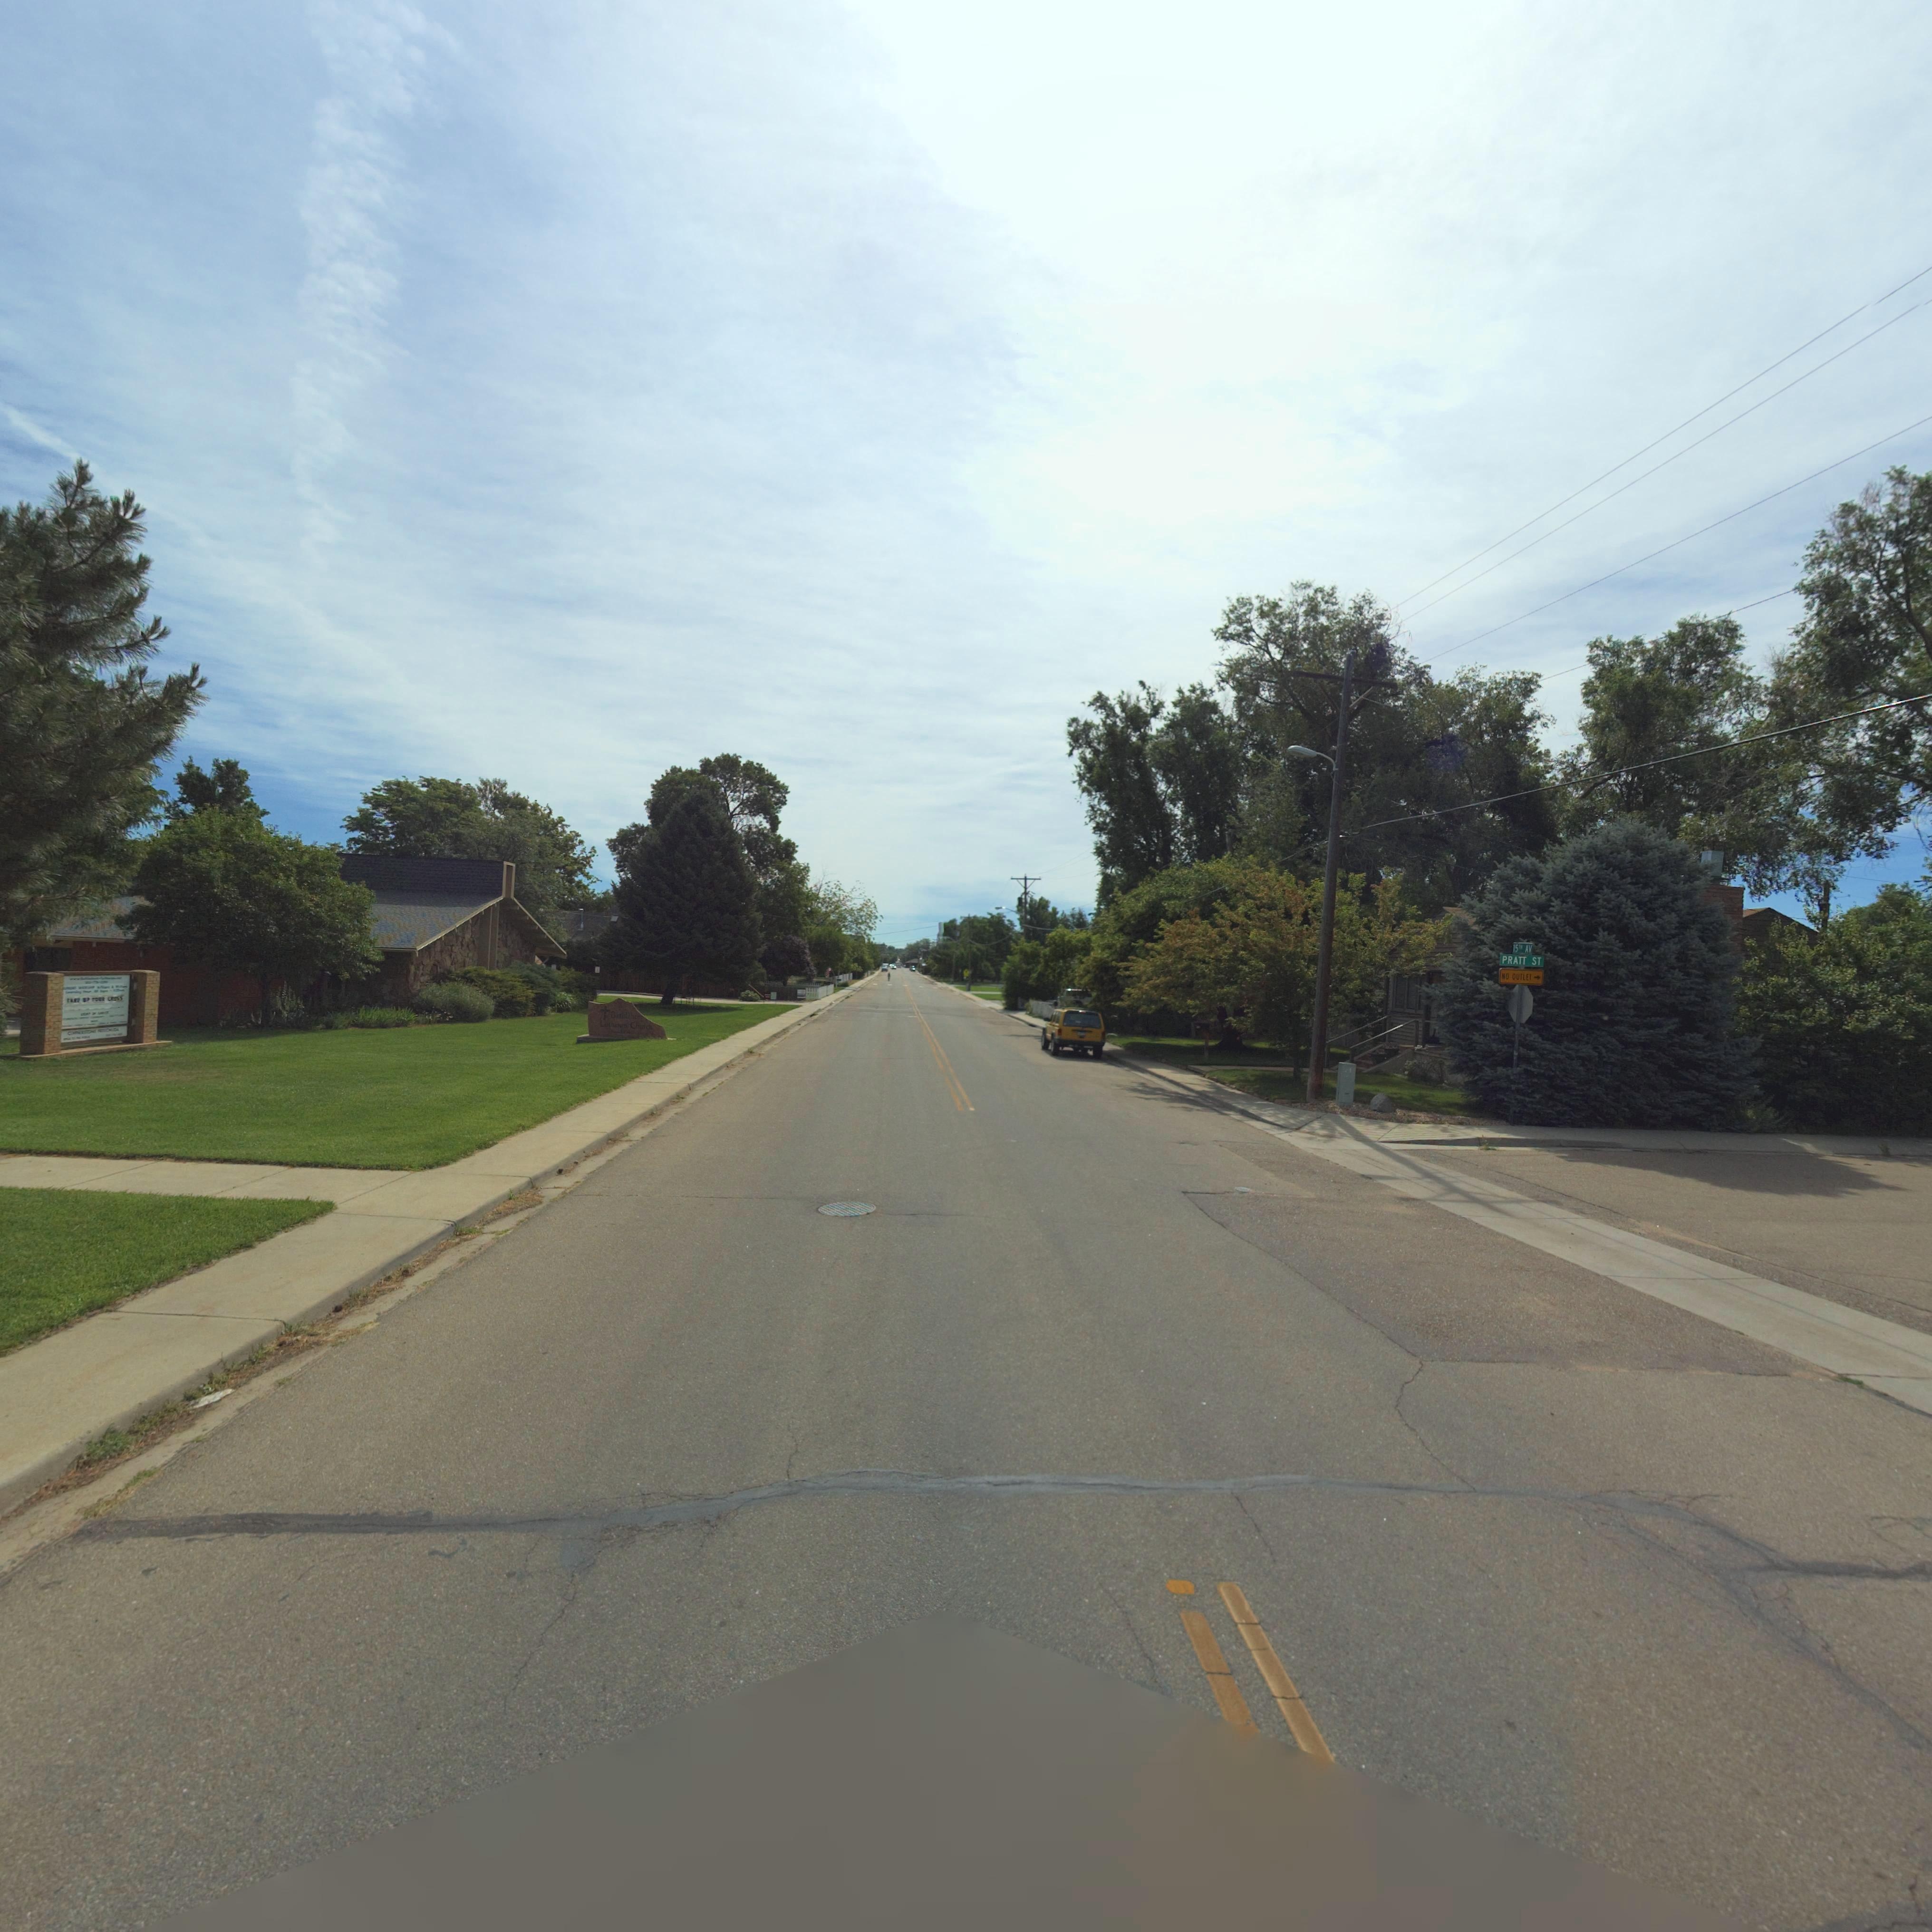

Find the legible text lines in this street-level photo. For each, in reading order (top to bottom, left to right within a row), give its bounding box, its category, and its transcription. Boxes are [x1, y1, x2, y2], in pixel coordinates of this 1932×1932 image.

[1513, 944, 1532, 953] StreetName: 15TH AV
[1502, 955, 1542, 966] StreetName: PRATT ST
[610, 1011, 643, 1019] BusinessName: Bethlehe*
[599, 1020, 653, 1029] BusinessName: Lutheran Church